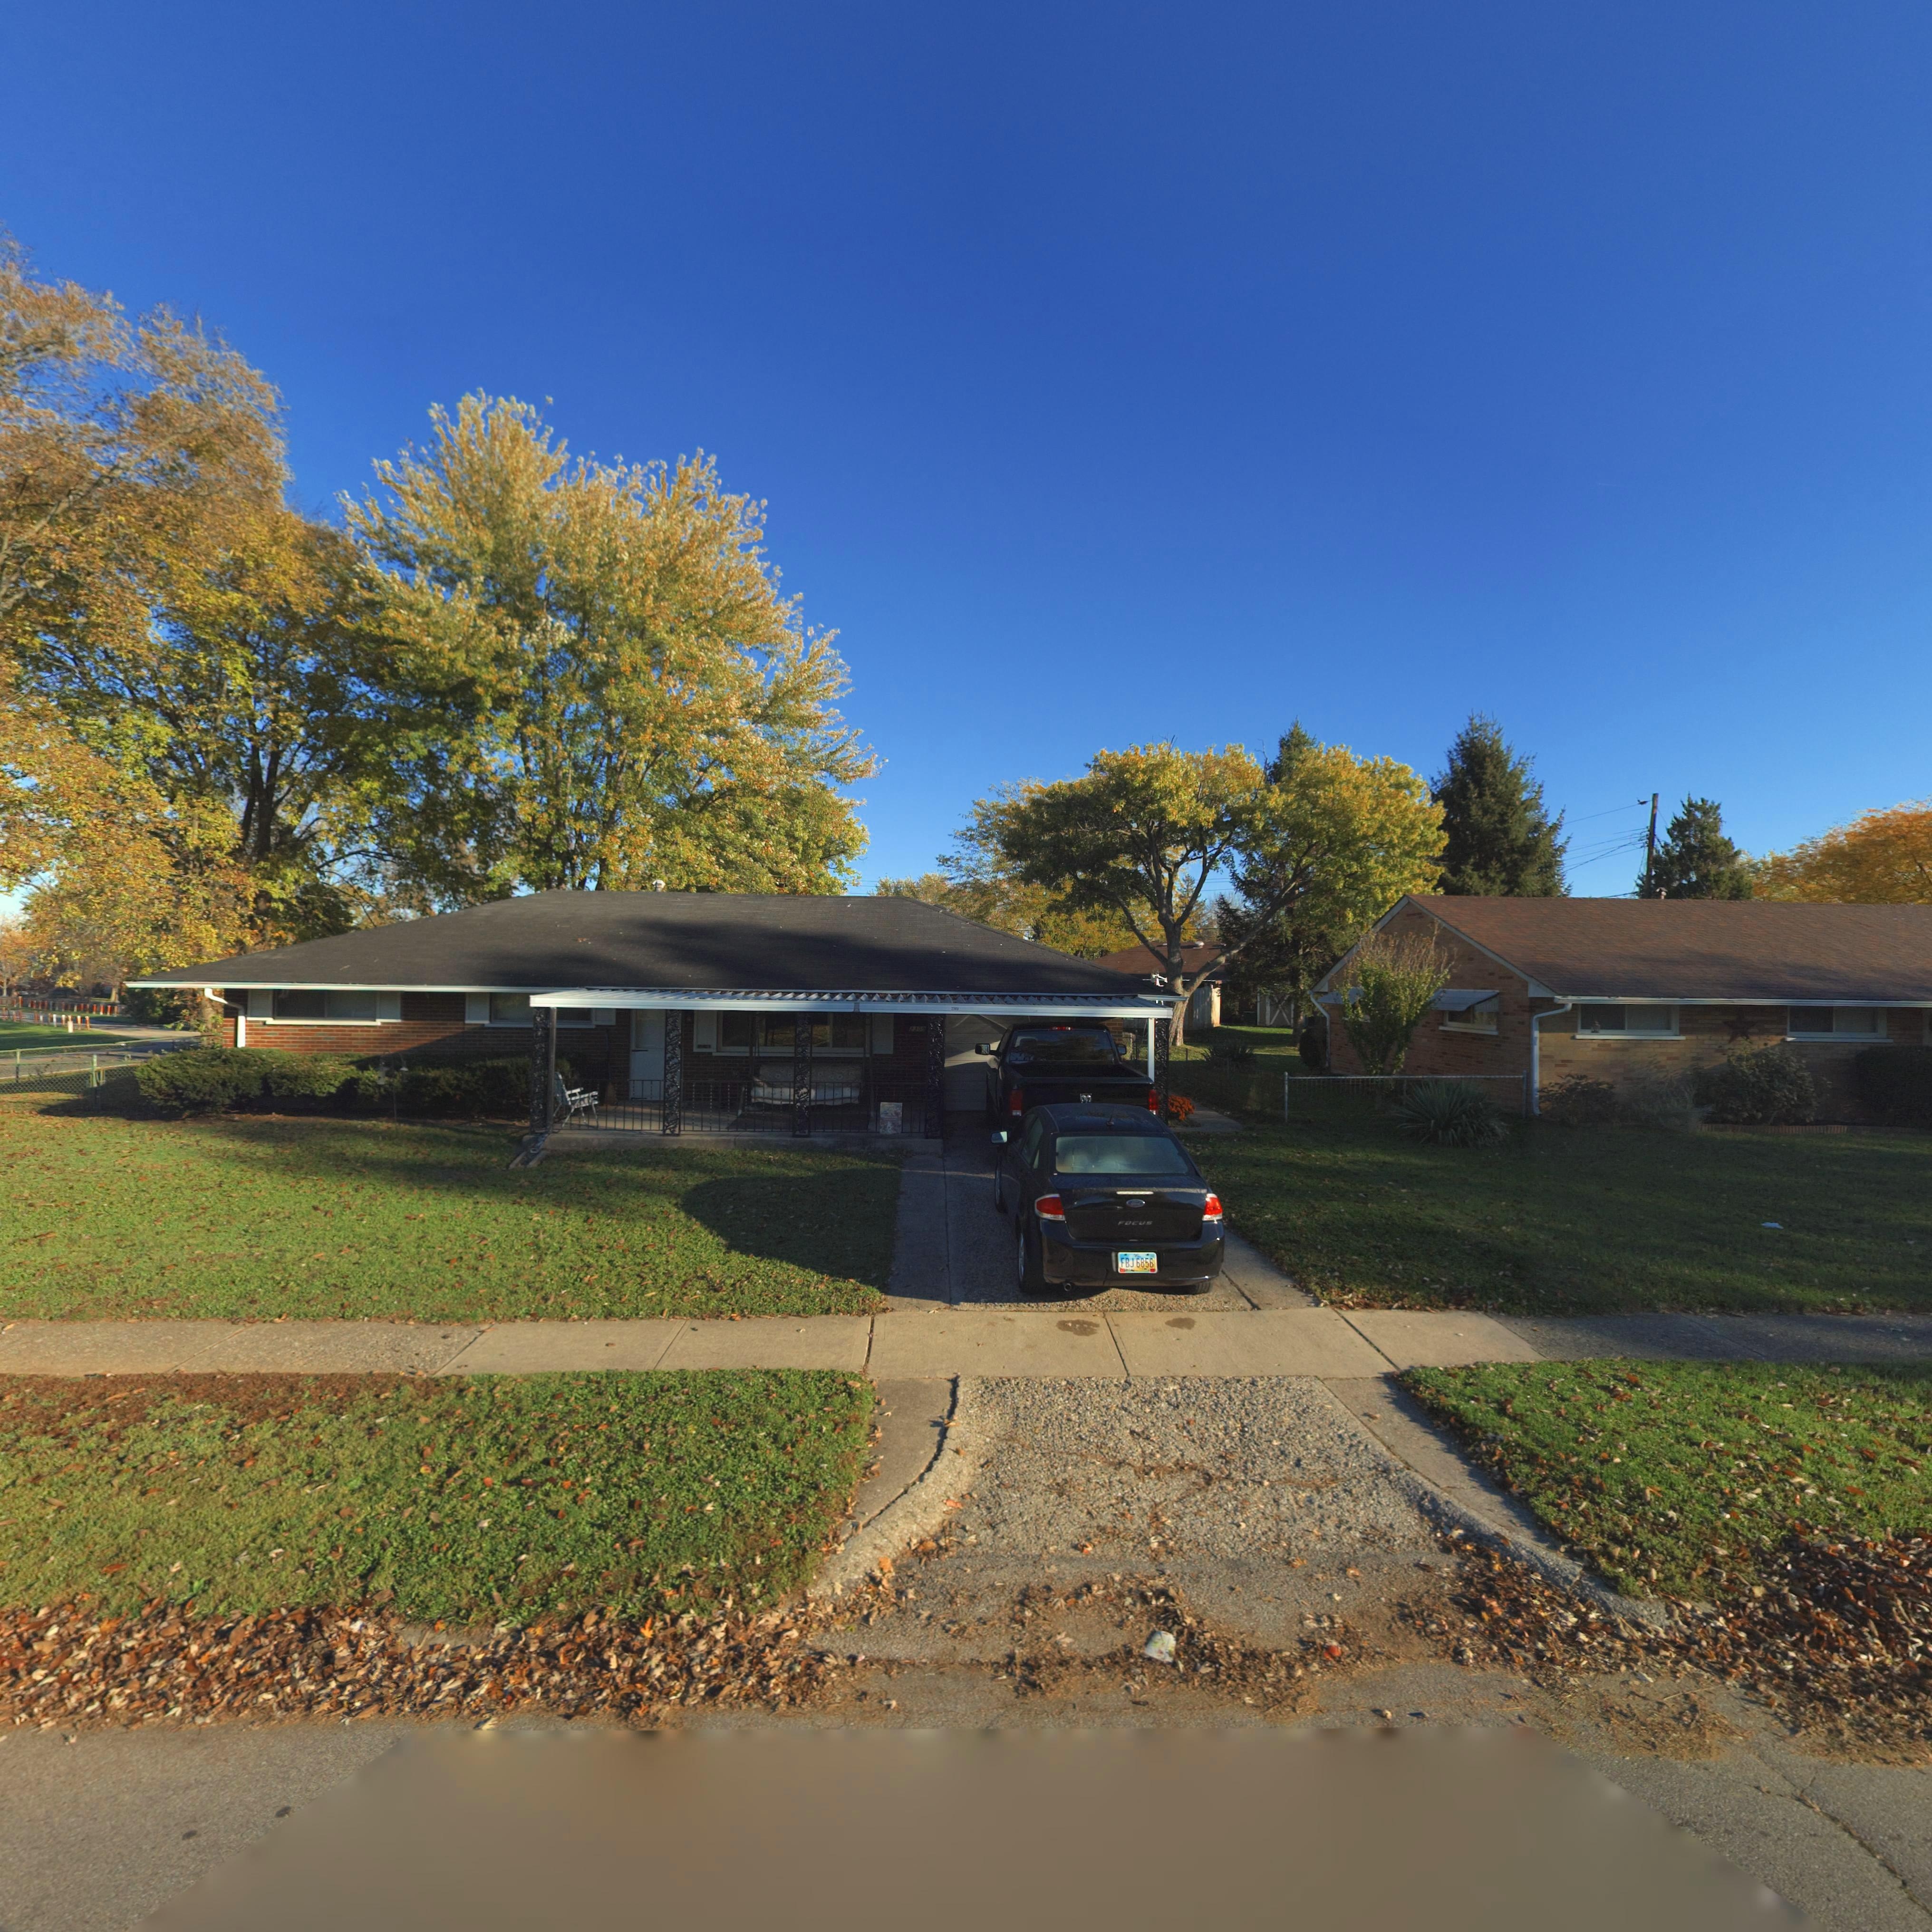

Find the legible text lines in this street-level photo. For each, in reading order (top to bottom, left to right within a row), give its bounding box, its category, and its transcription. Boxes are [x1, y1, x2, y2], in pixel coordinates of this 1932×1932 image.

[908, 1025, 926, 1032] StreetNumber: *309